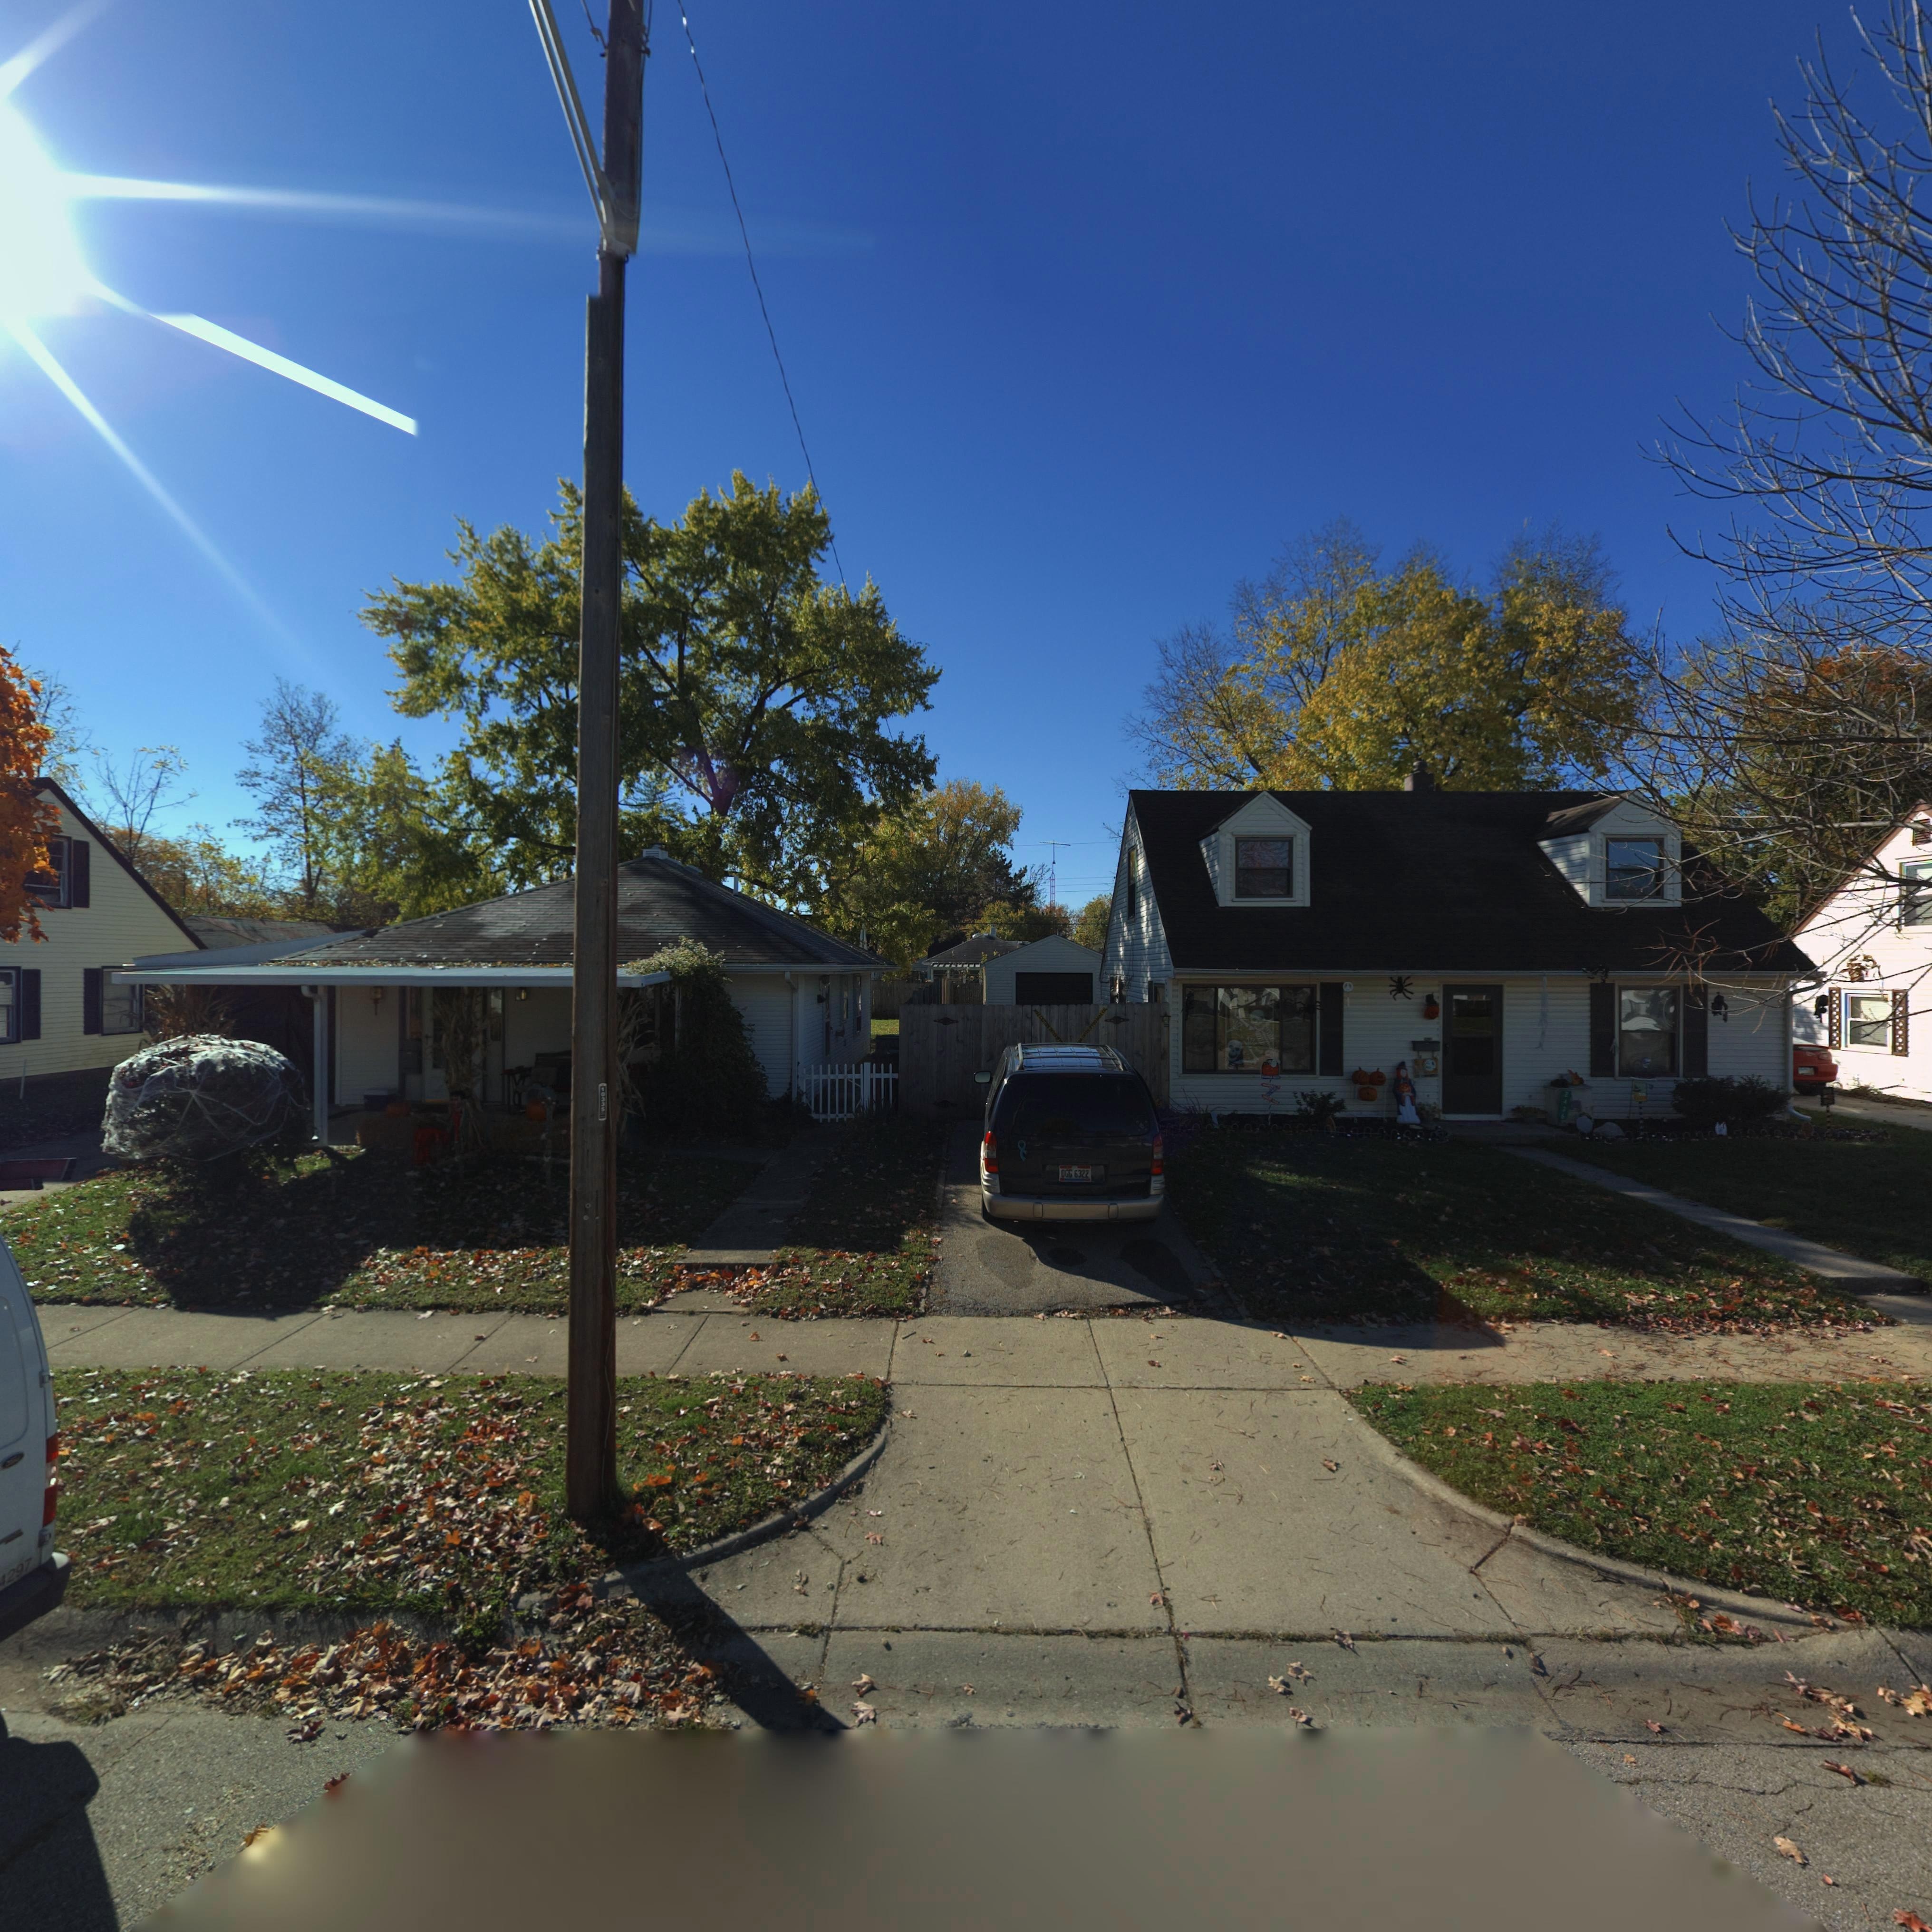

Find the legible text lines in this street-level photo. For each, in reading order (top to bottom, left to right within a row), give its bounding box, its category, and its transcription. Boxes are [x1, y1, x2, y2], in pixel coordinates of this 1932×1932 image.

[1559, 1090, 1570, 1121] StreetNumber: 2**6